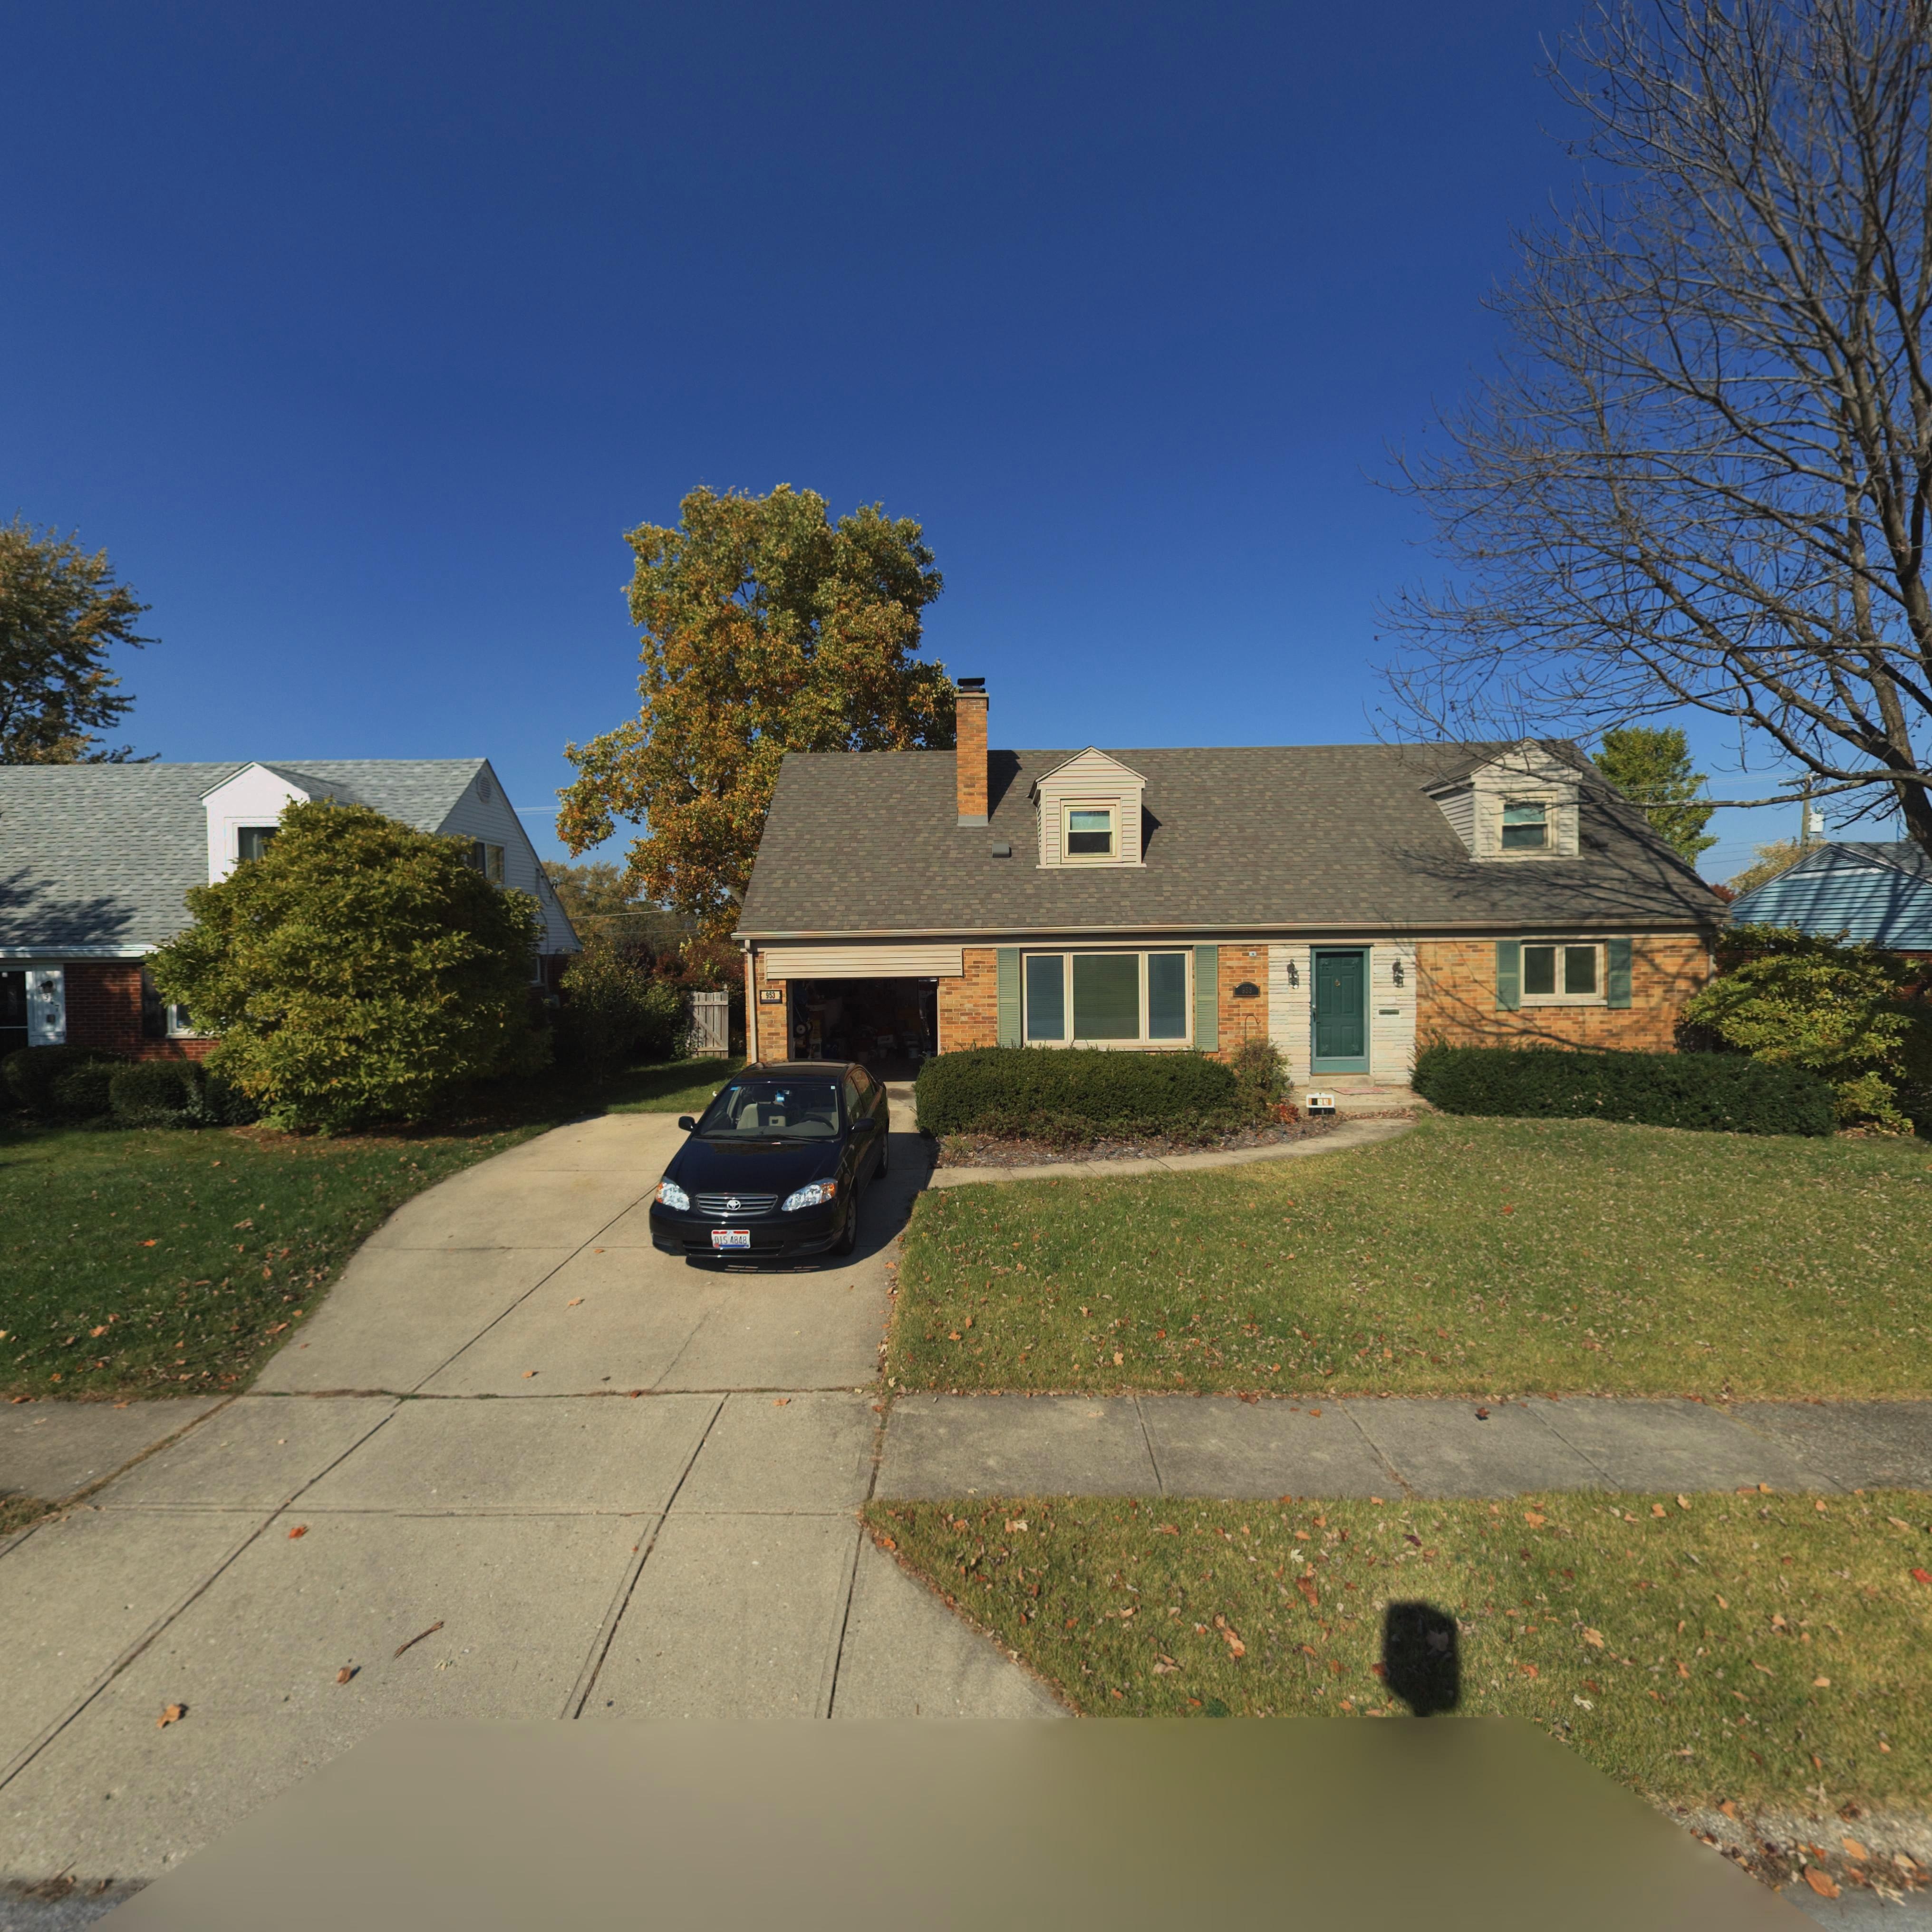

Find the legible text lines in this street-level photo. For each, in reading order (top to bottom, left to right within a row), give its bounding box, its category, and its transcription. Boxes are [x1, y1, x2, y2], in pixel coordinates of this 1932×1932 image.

[1242, 987, 1253, 994] StreetNumber: 953
[765, 991, 775, 998] StreetNumber: 953
[43, 993, 60, 1013] StreetNumber: 947
[1312, 1098, 1328, 1104] StreetNumber: **3
[714, 1236, 747, 1245] None: DIS*4848